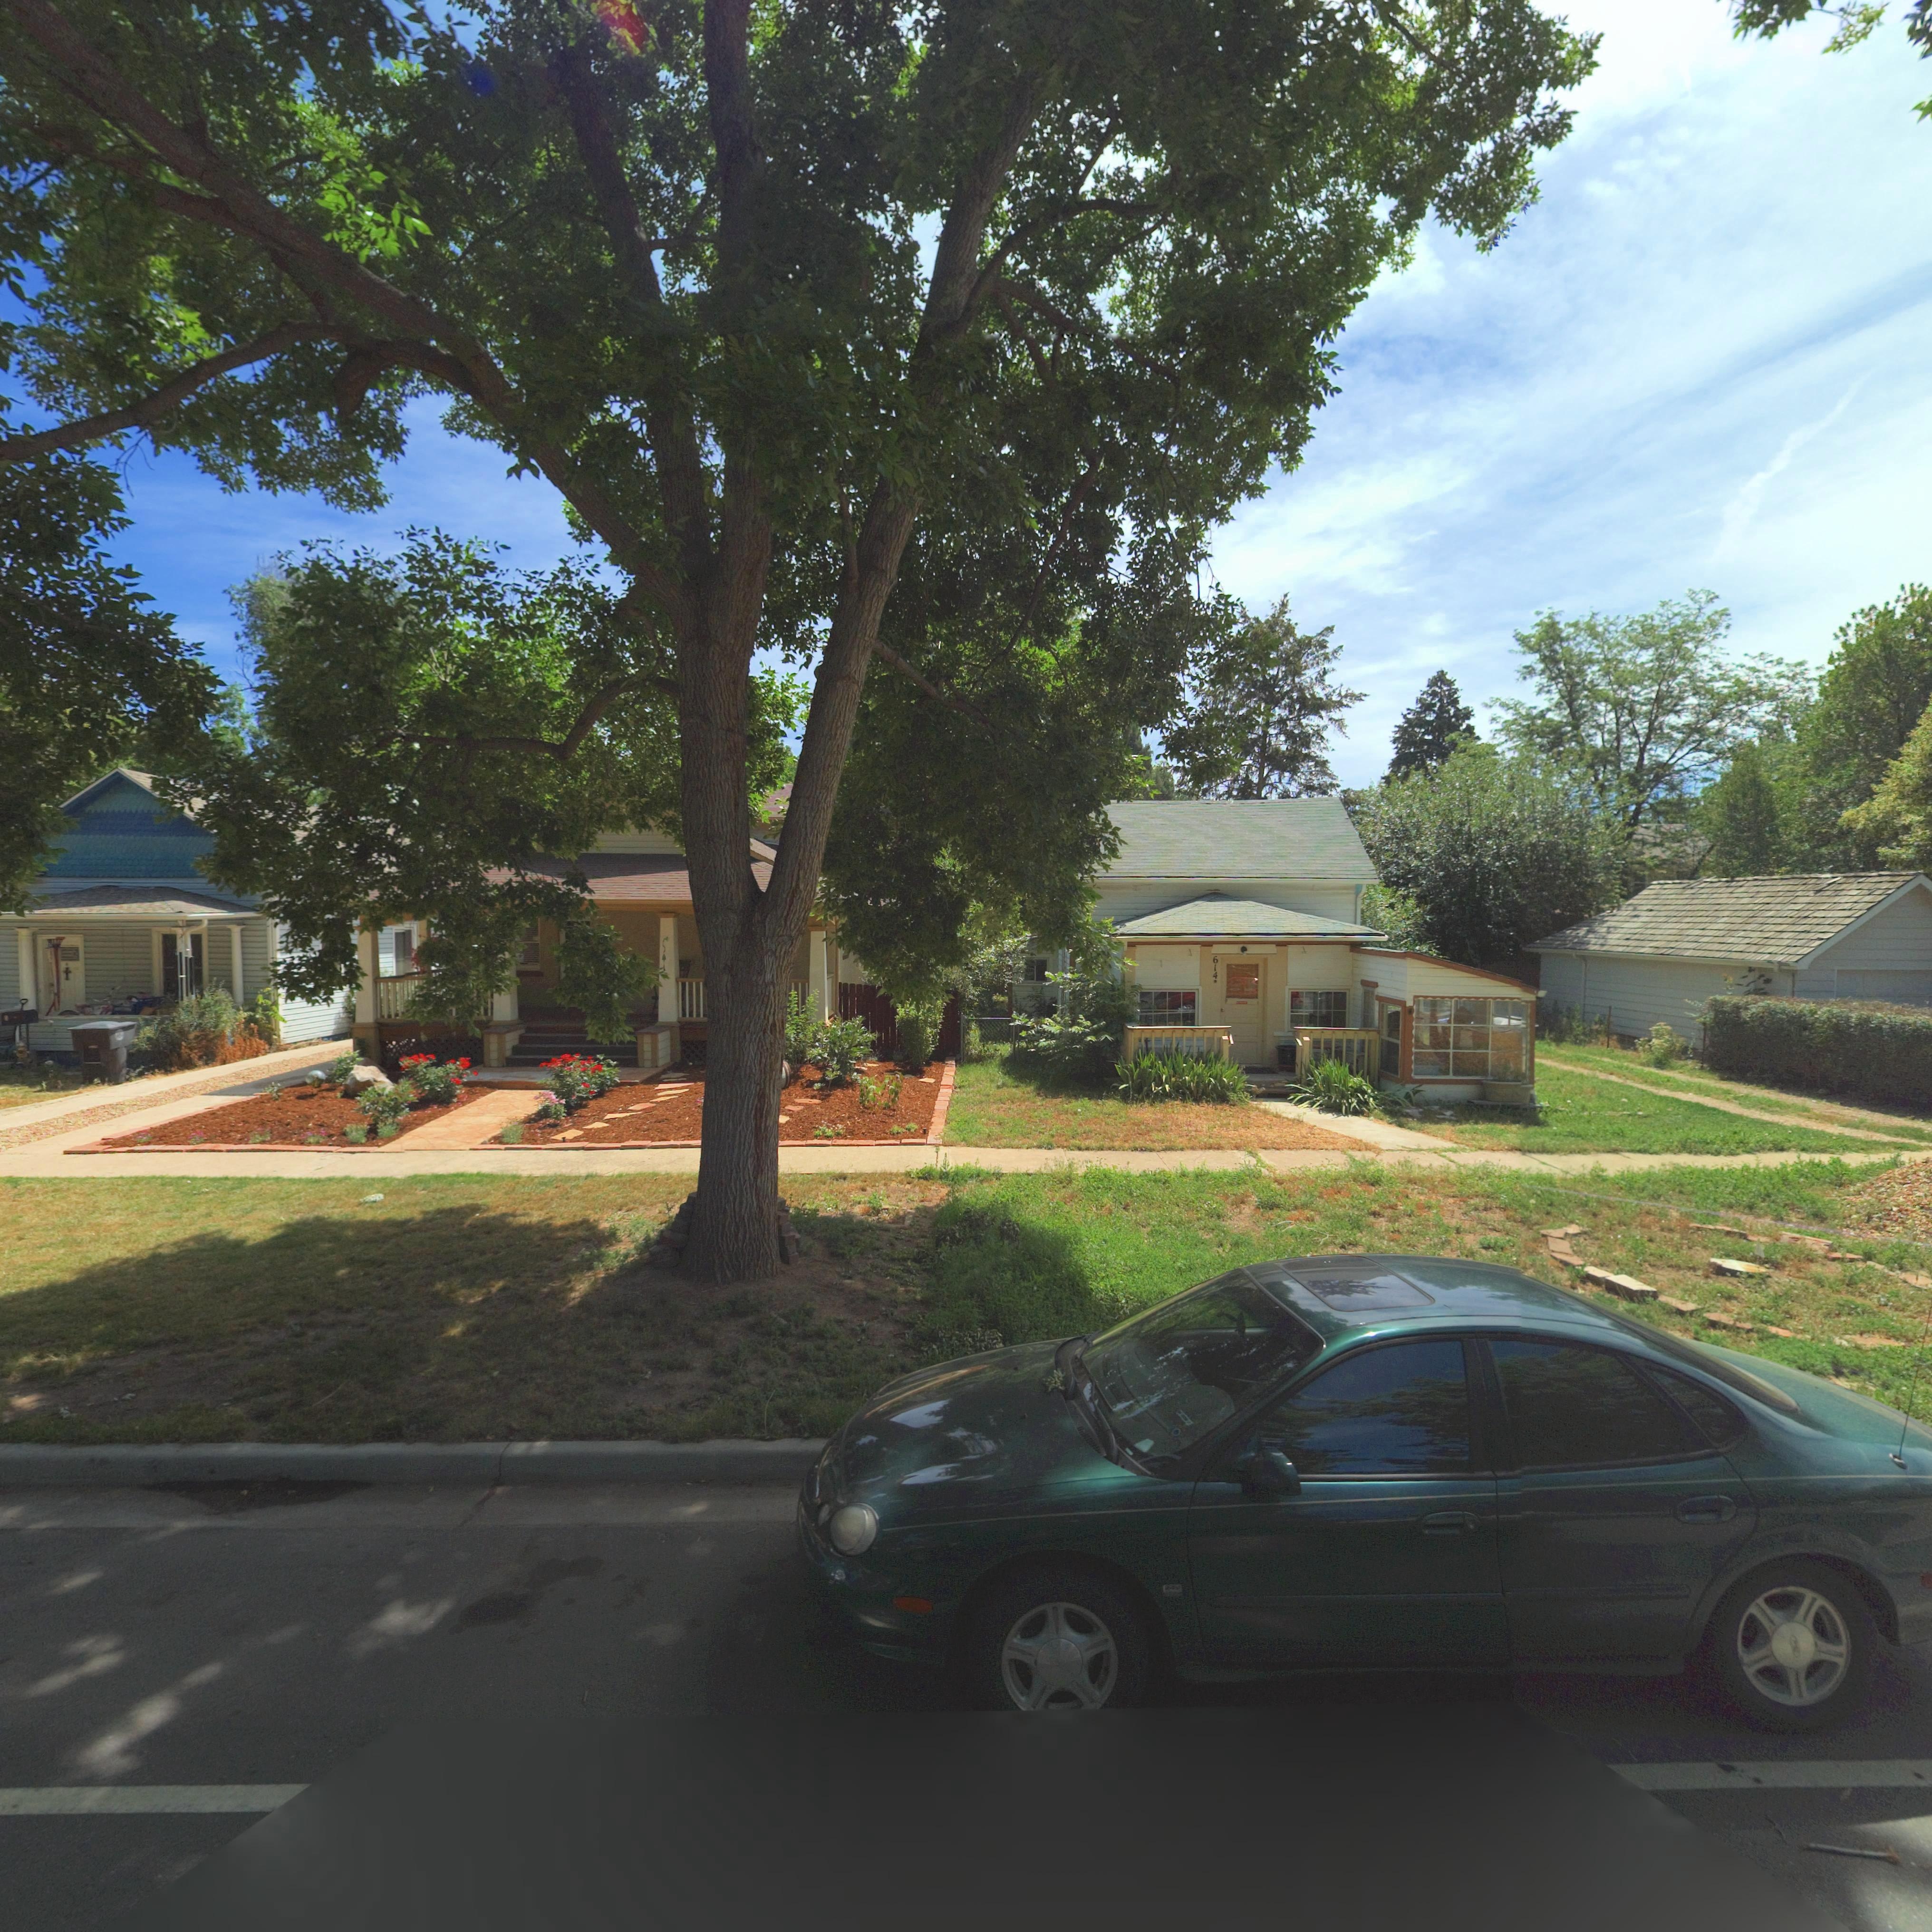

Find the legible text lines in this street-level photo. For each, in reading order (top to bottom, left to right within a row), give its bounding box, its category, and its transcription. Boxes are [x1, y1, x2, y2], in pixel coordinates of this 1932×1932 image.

[1212, 954, 1218, 979] StreetNumber: 614